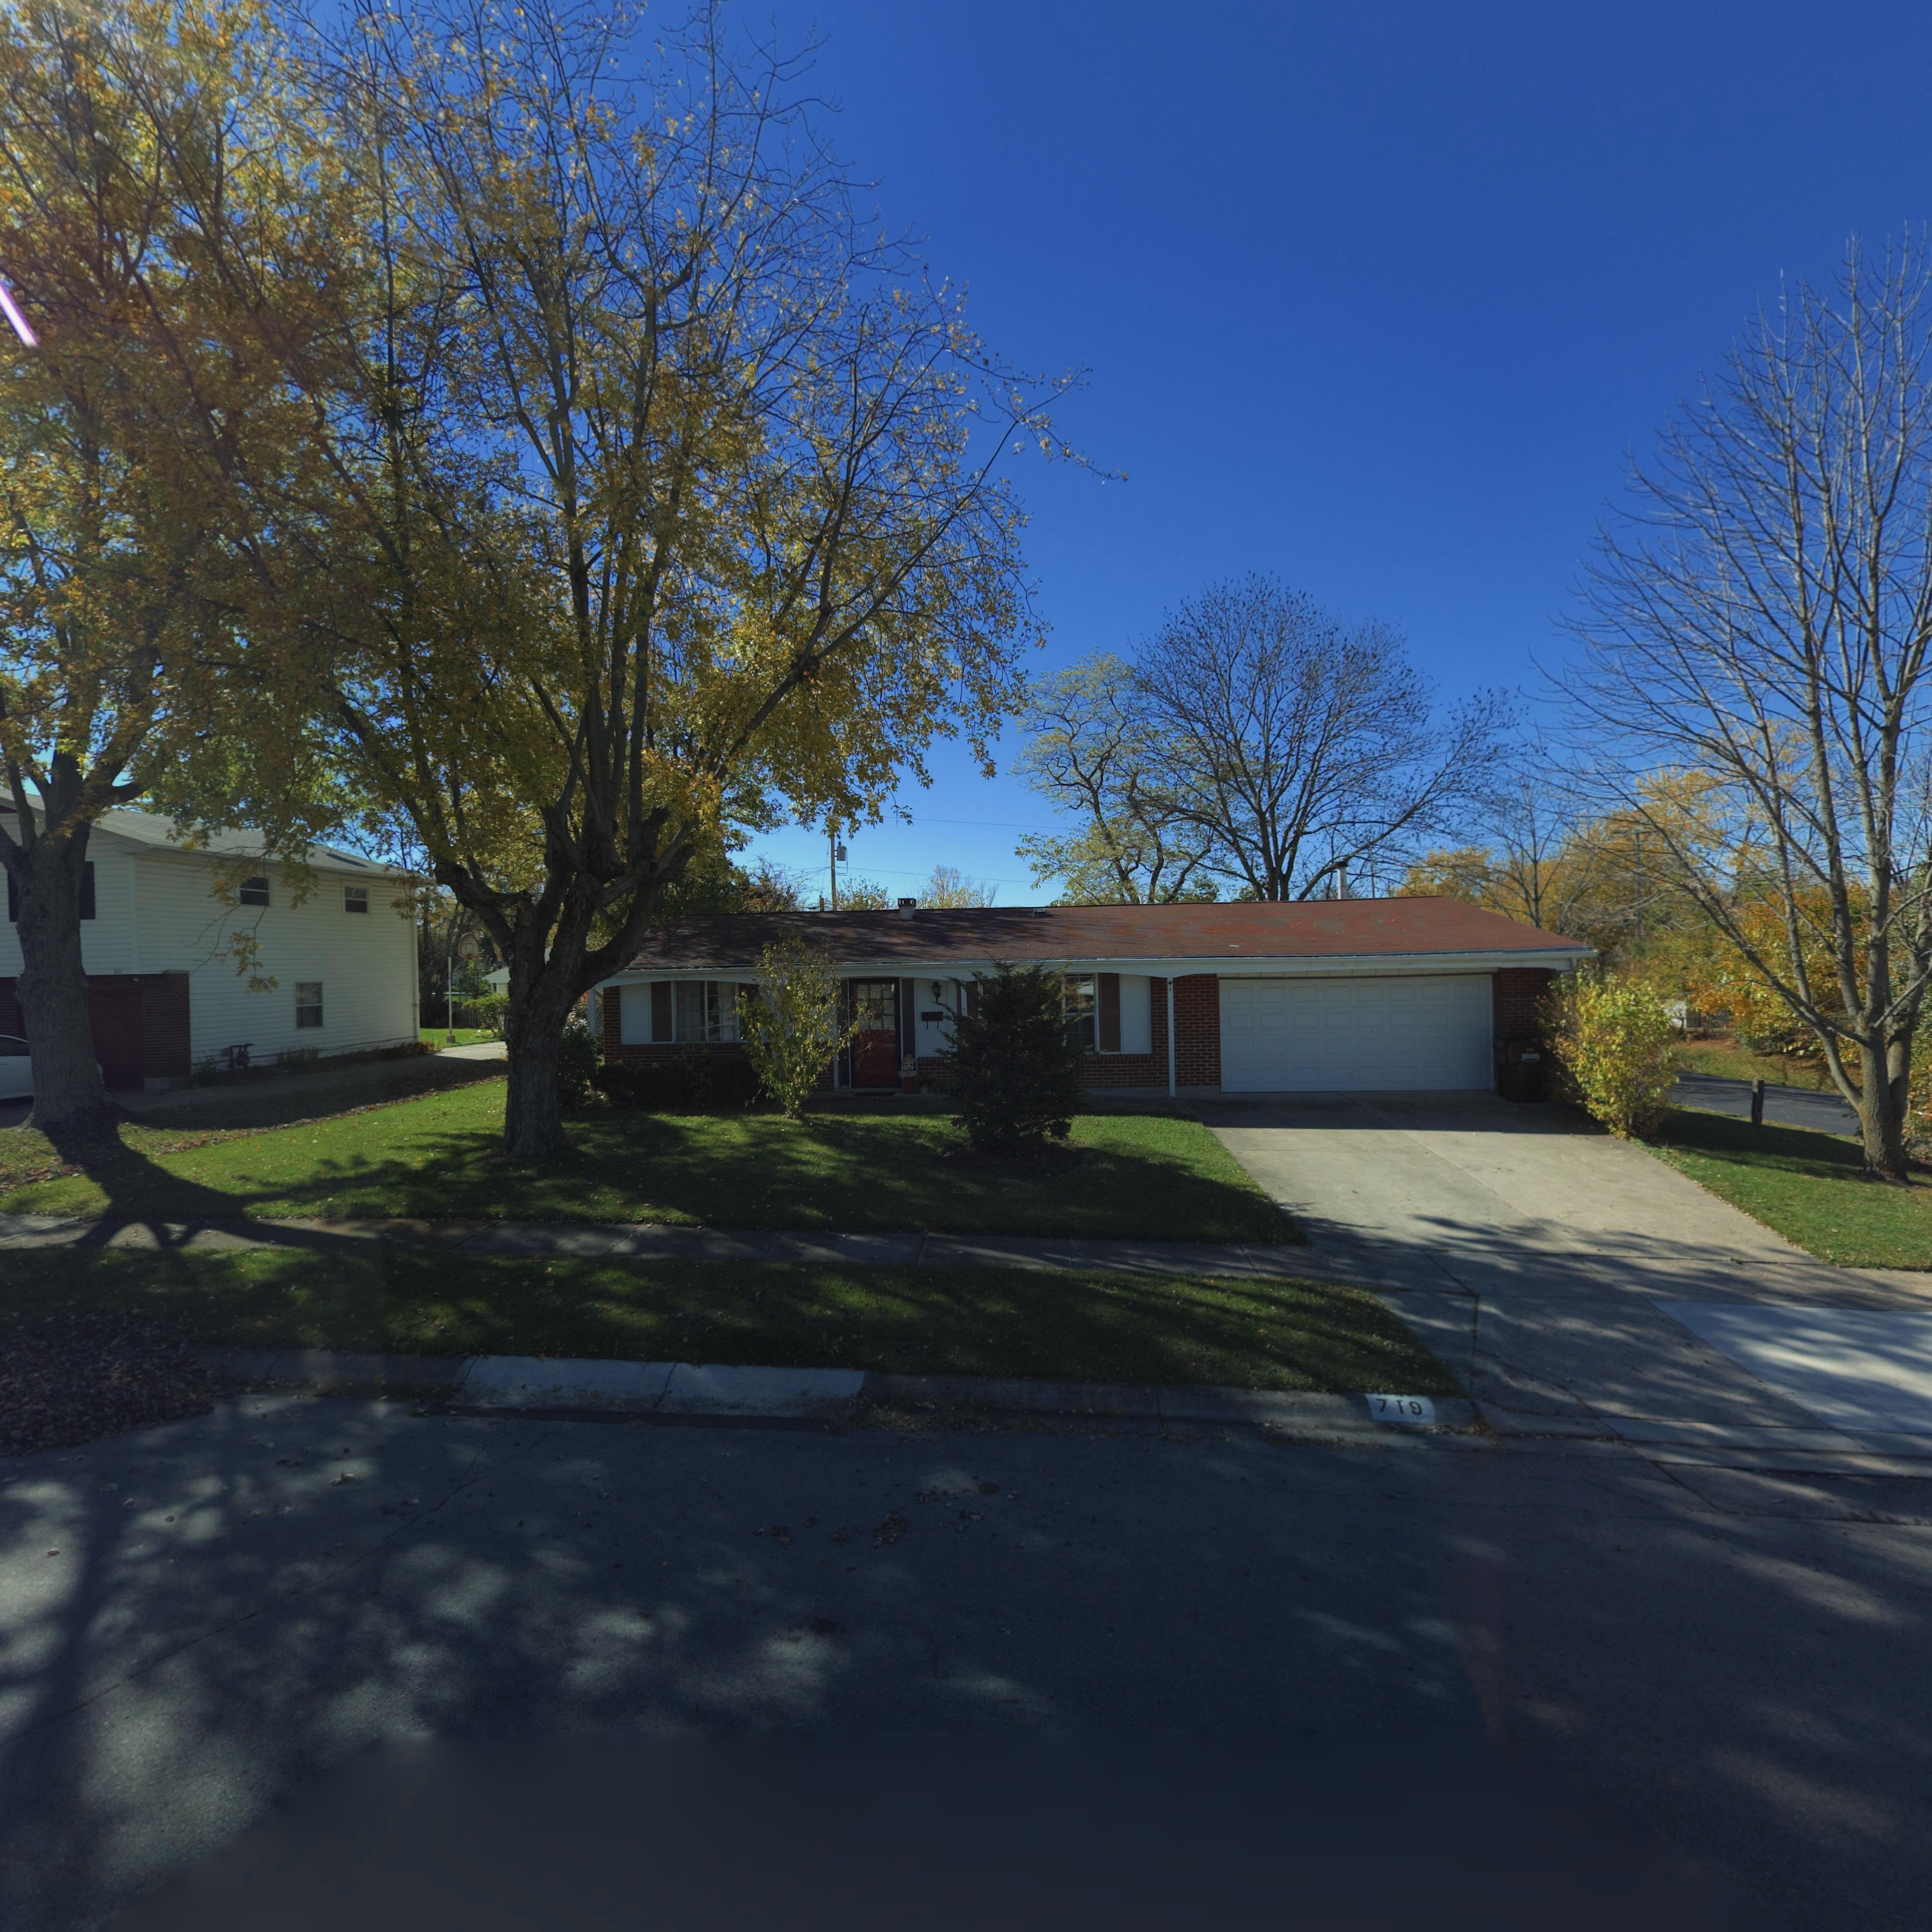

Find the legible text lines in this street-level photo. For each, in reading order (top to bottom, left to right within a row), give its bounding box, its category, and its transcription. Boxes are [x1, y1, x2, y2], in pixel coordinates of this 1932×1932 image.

[962, 1007, 967, 1014] StreetNumber: 7
[1375, 1397, 1423, 1417] StreetNumber: 719